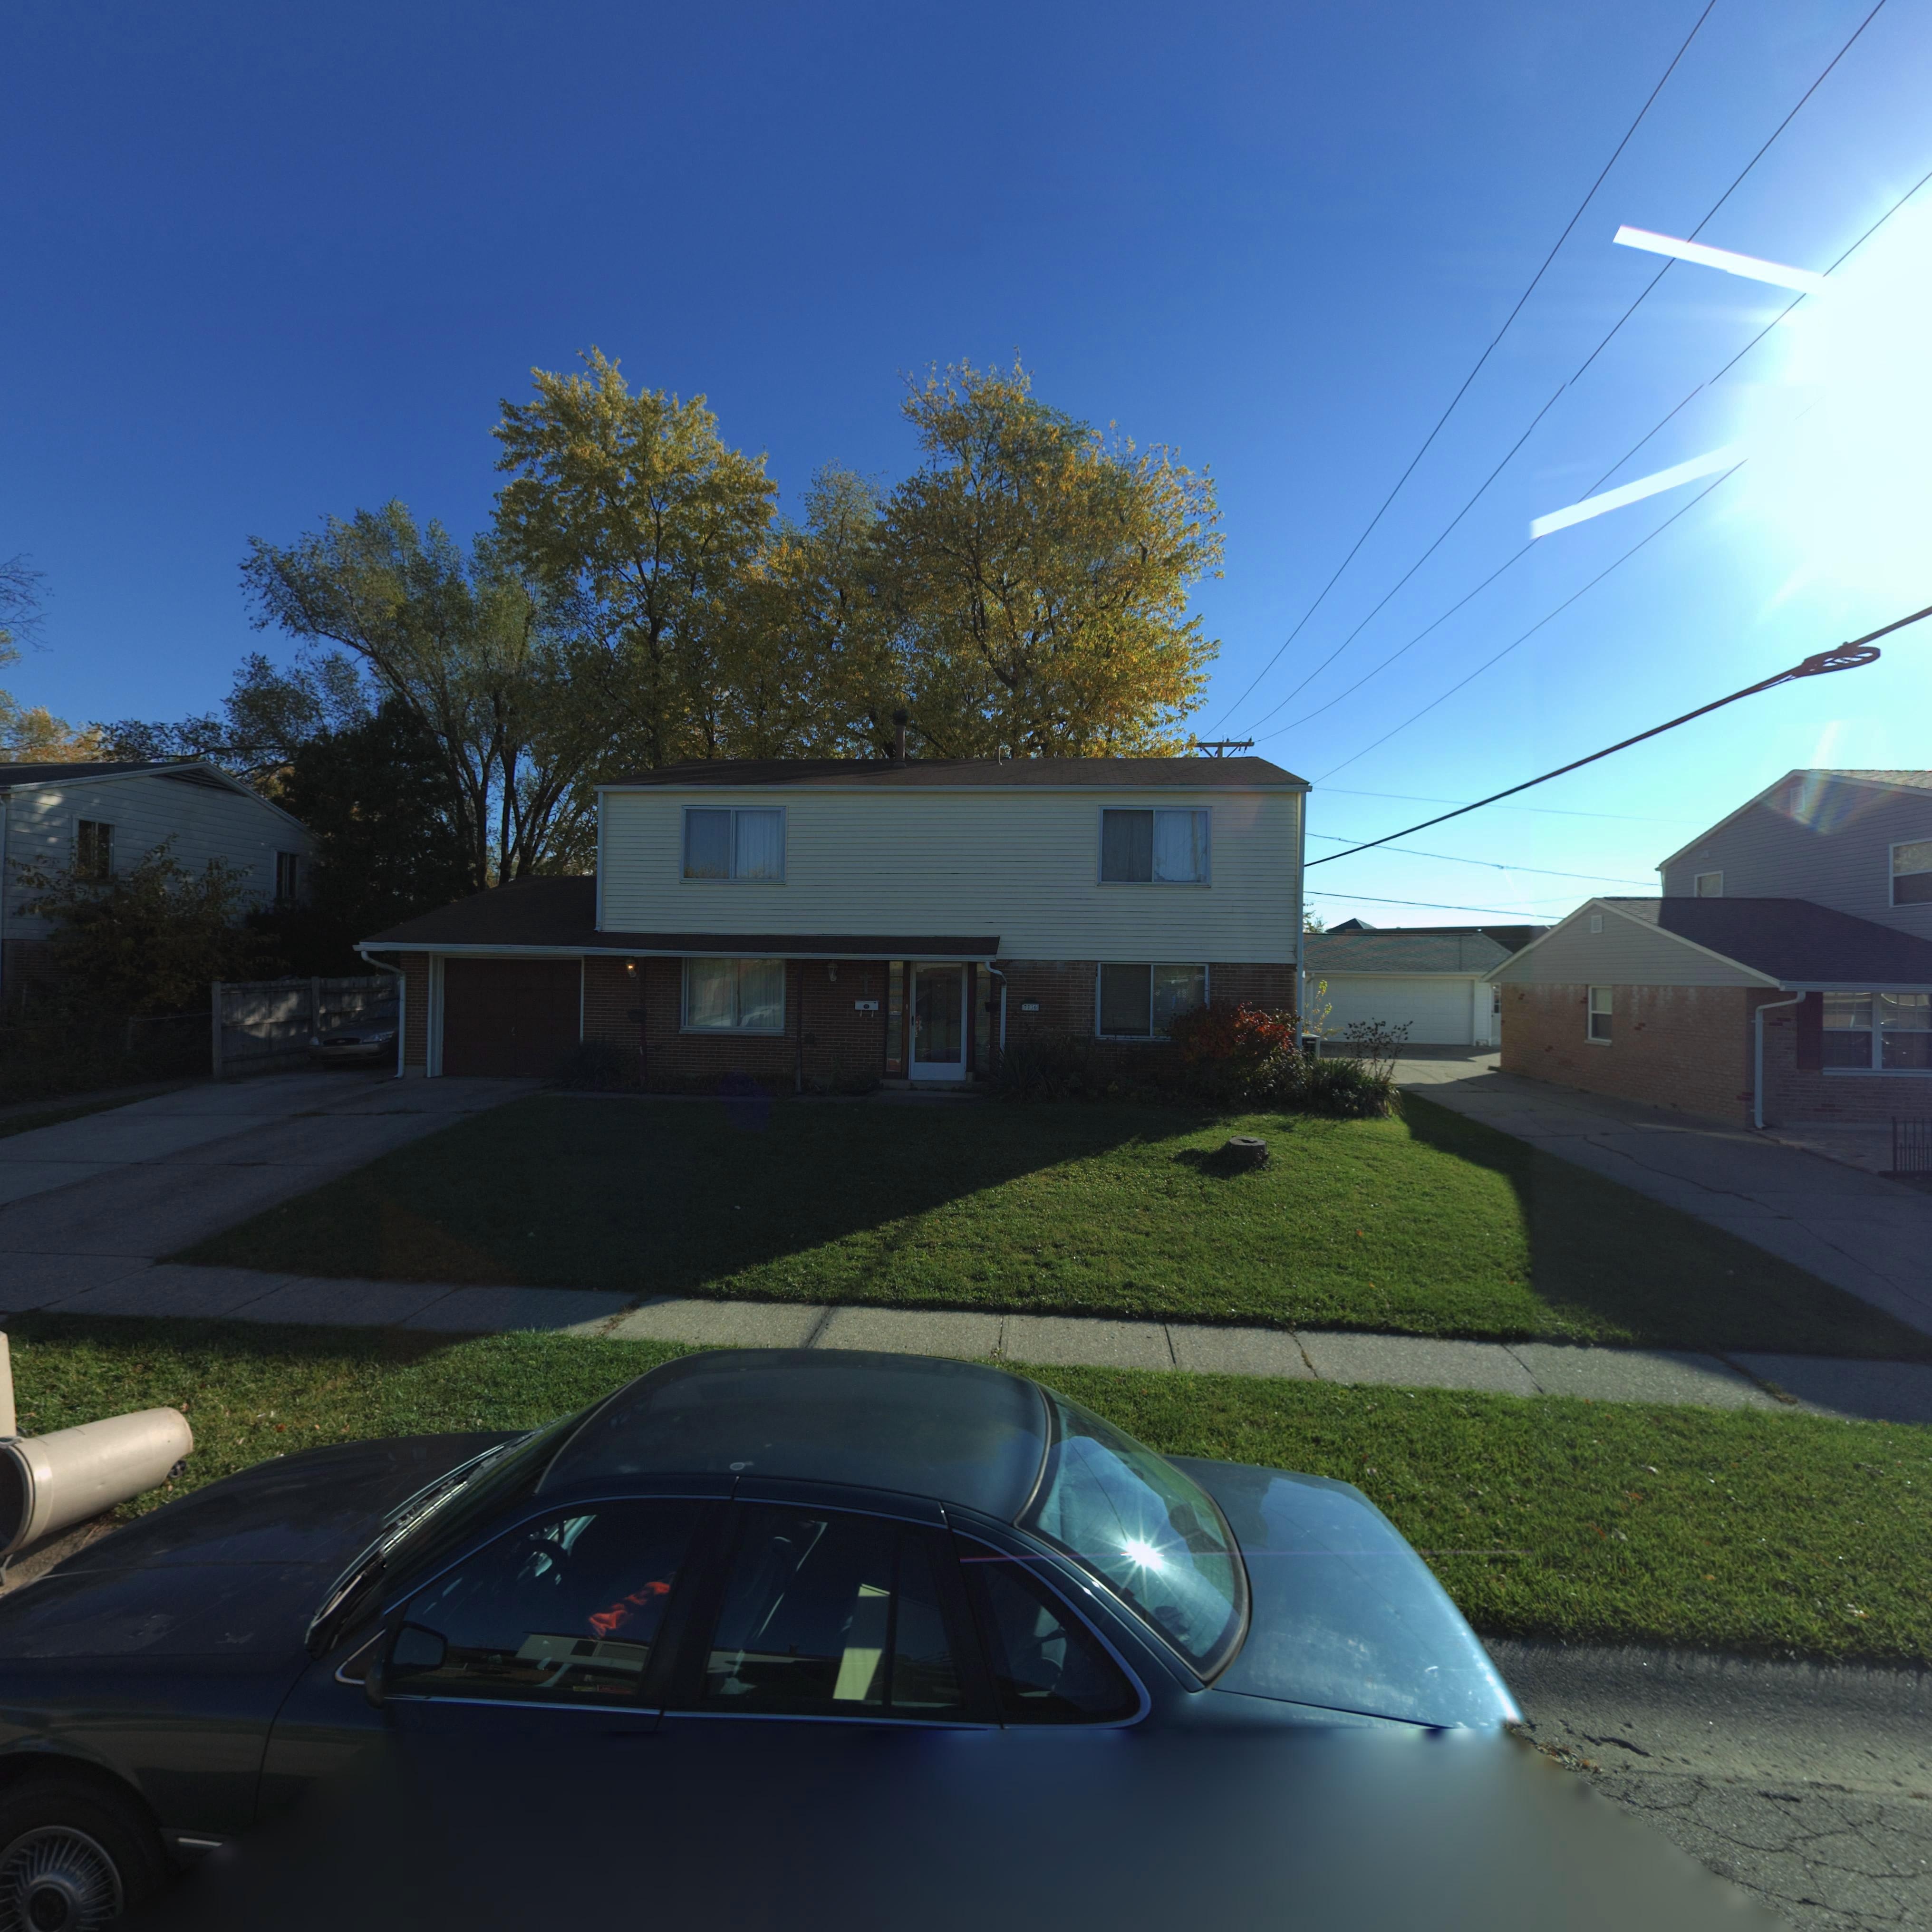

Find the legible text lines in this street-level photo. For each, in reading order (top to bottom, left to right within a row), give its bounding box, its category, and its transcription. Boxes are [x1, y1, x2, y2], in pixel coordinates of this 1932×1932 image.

[1024, 1004, 1037, 1010] StreetNumber: 7736